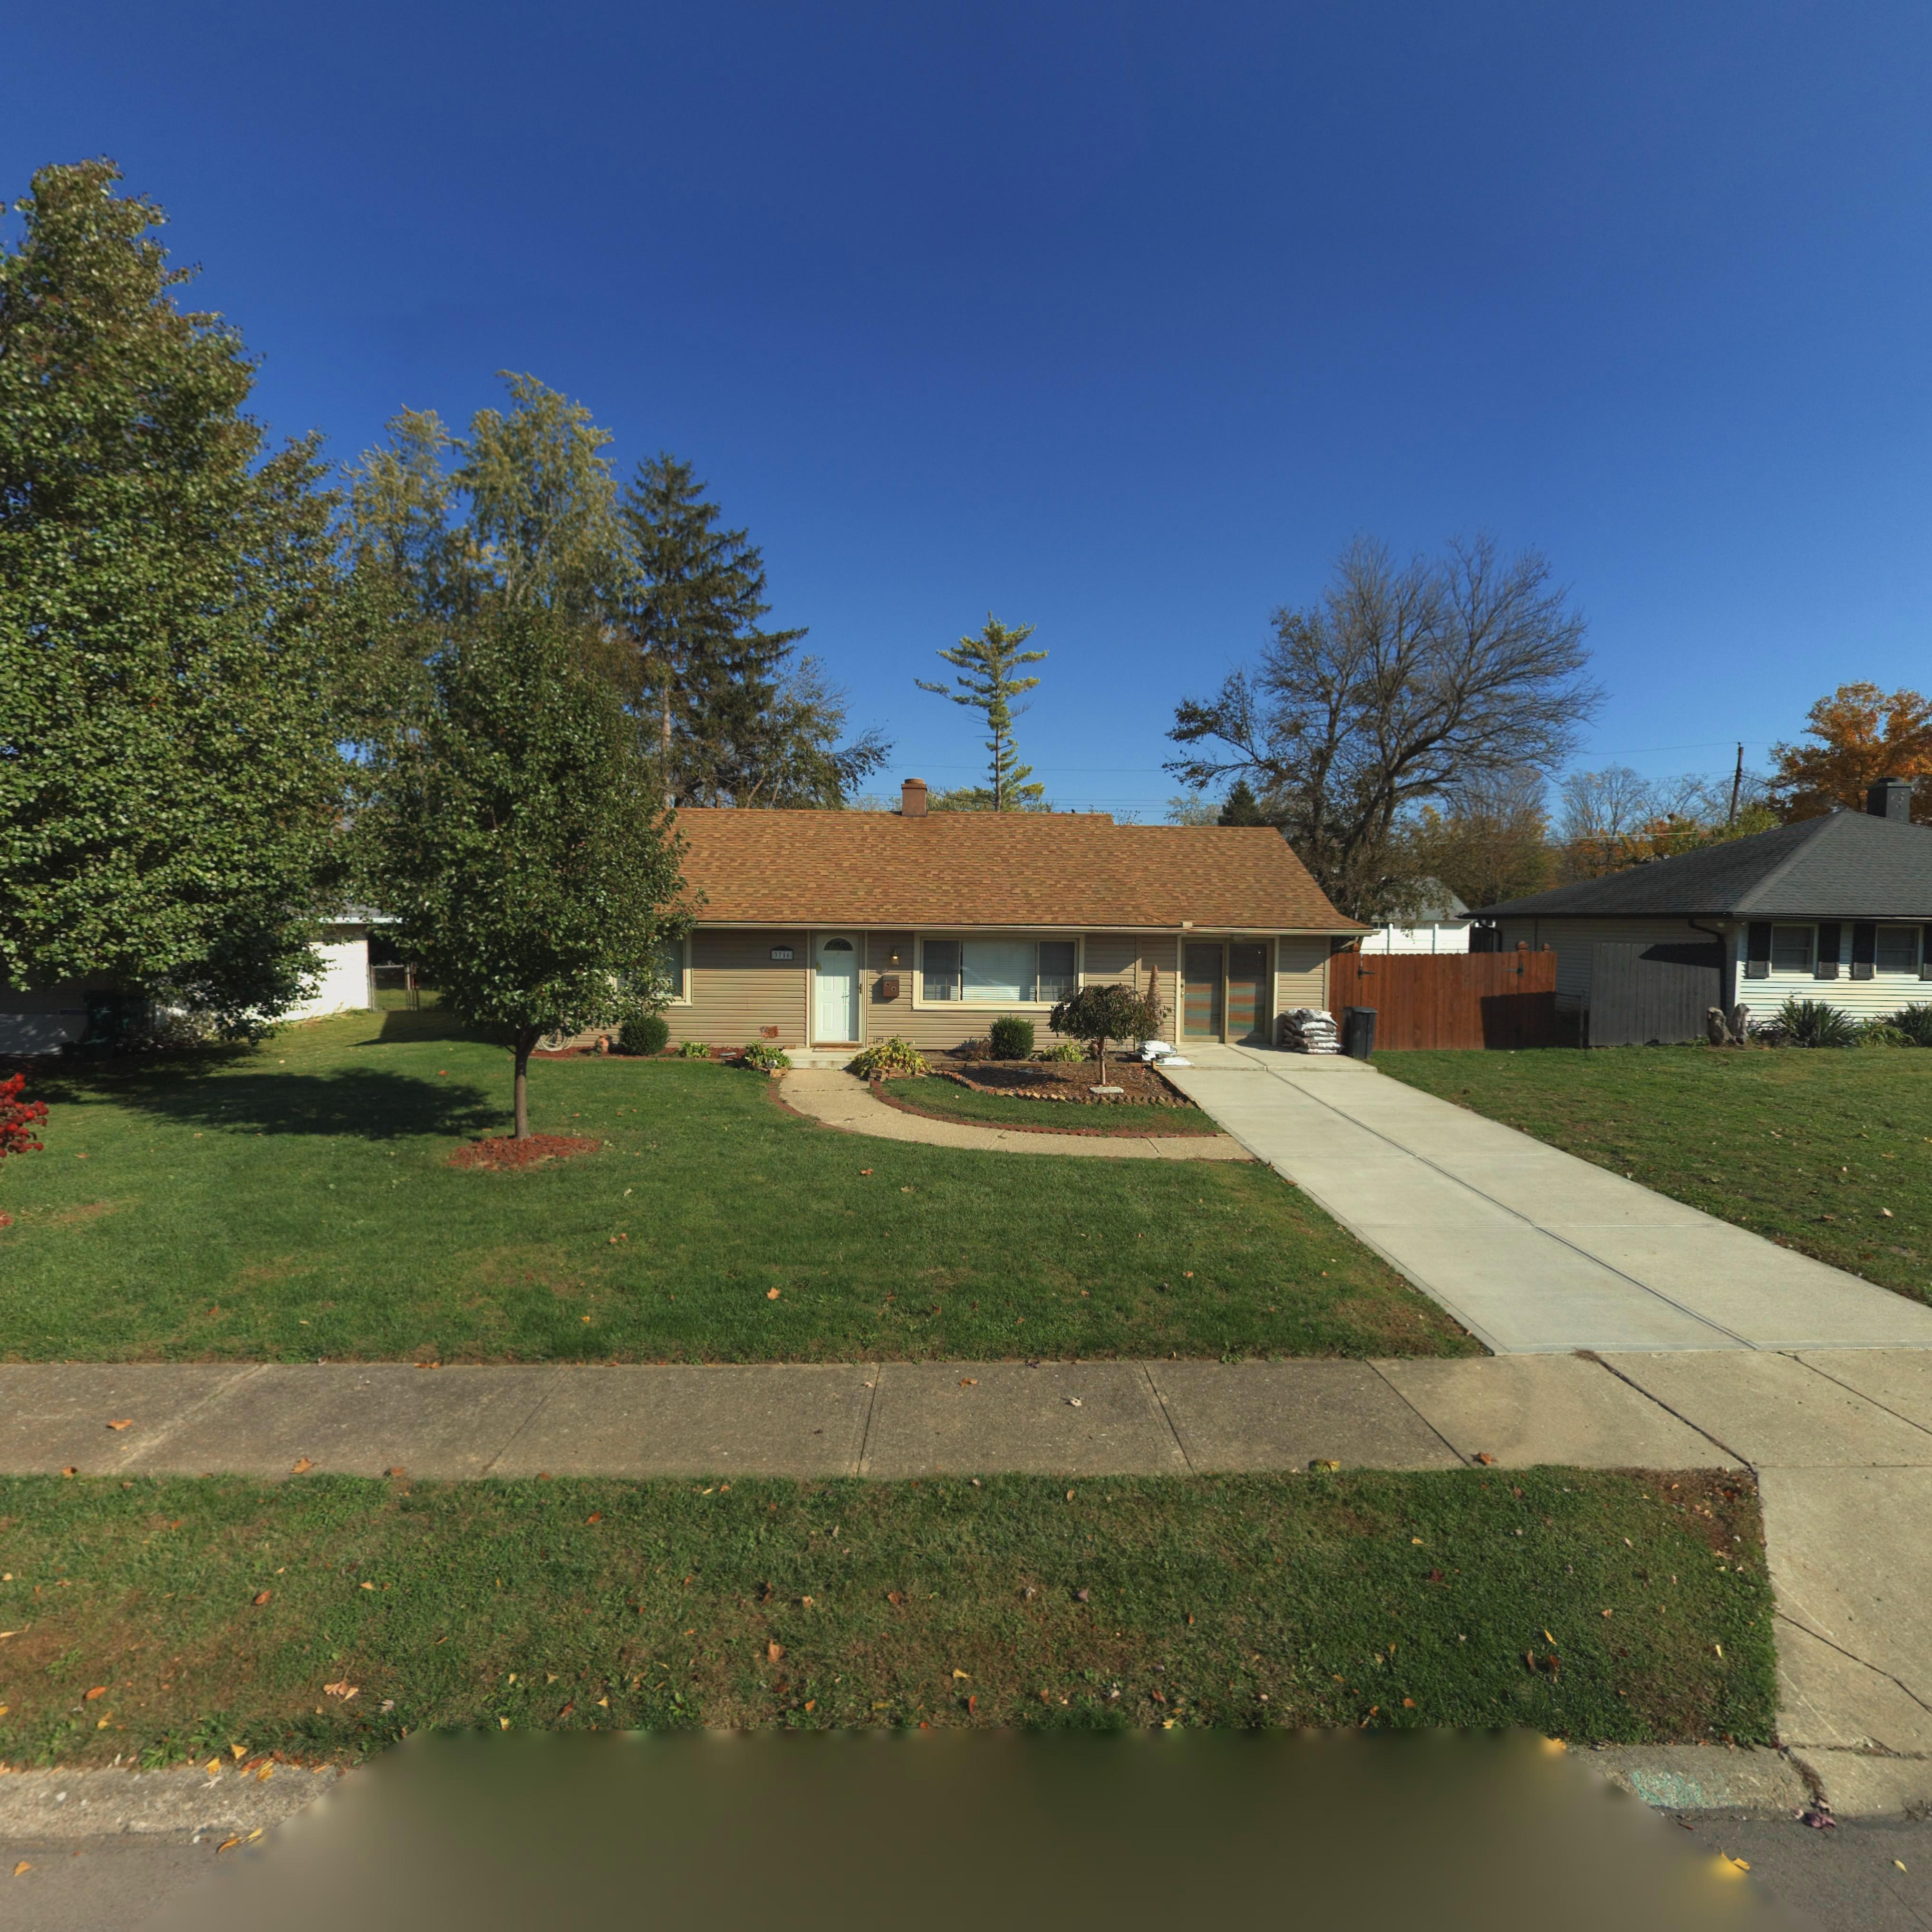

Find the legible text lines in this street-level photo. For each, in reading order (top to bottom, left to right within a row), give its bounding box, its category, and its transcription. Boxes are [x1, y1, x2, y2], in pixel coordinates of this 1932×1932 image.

[773, 951, 790, 958] StreetNumber: 3716